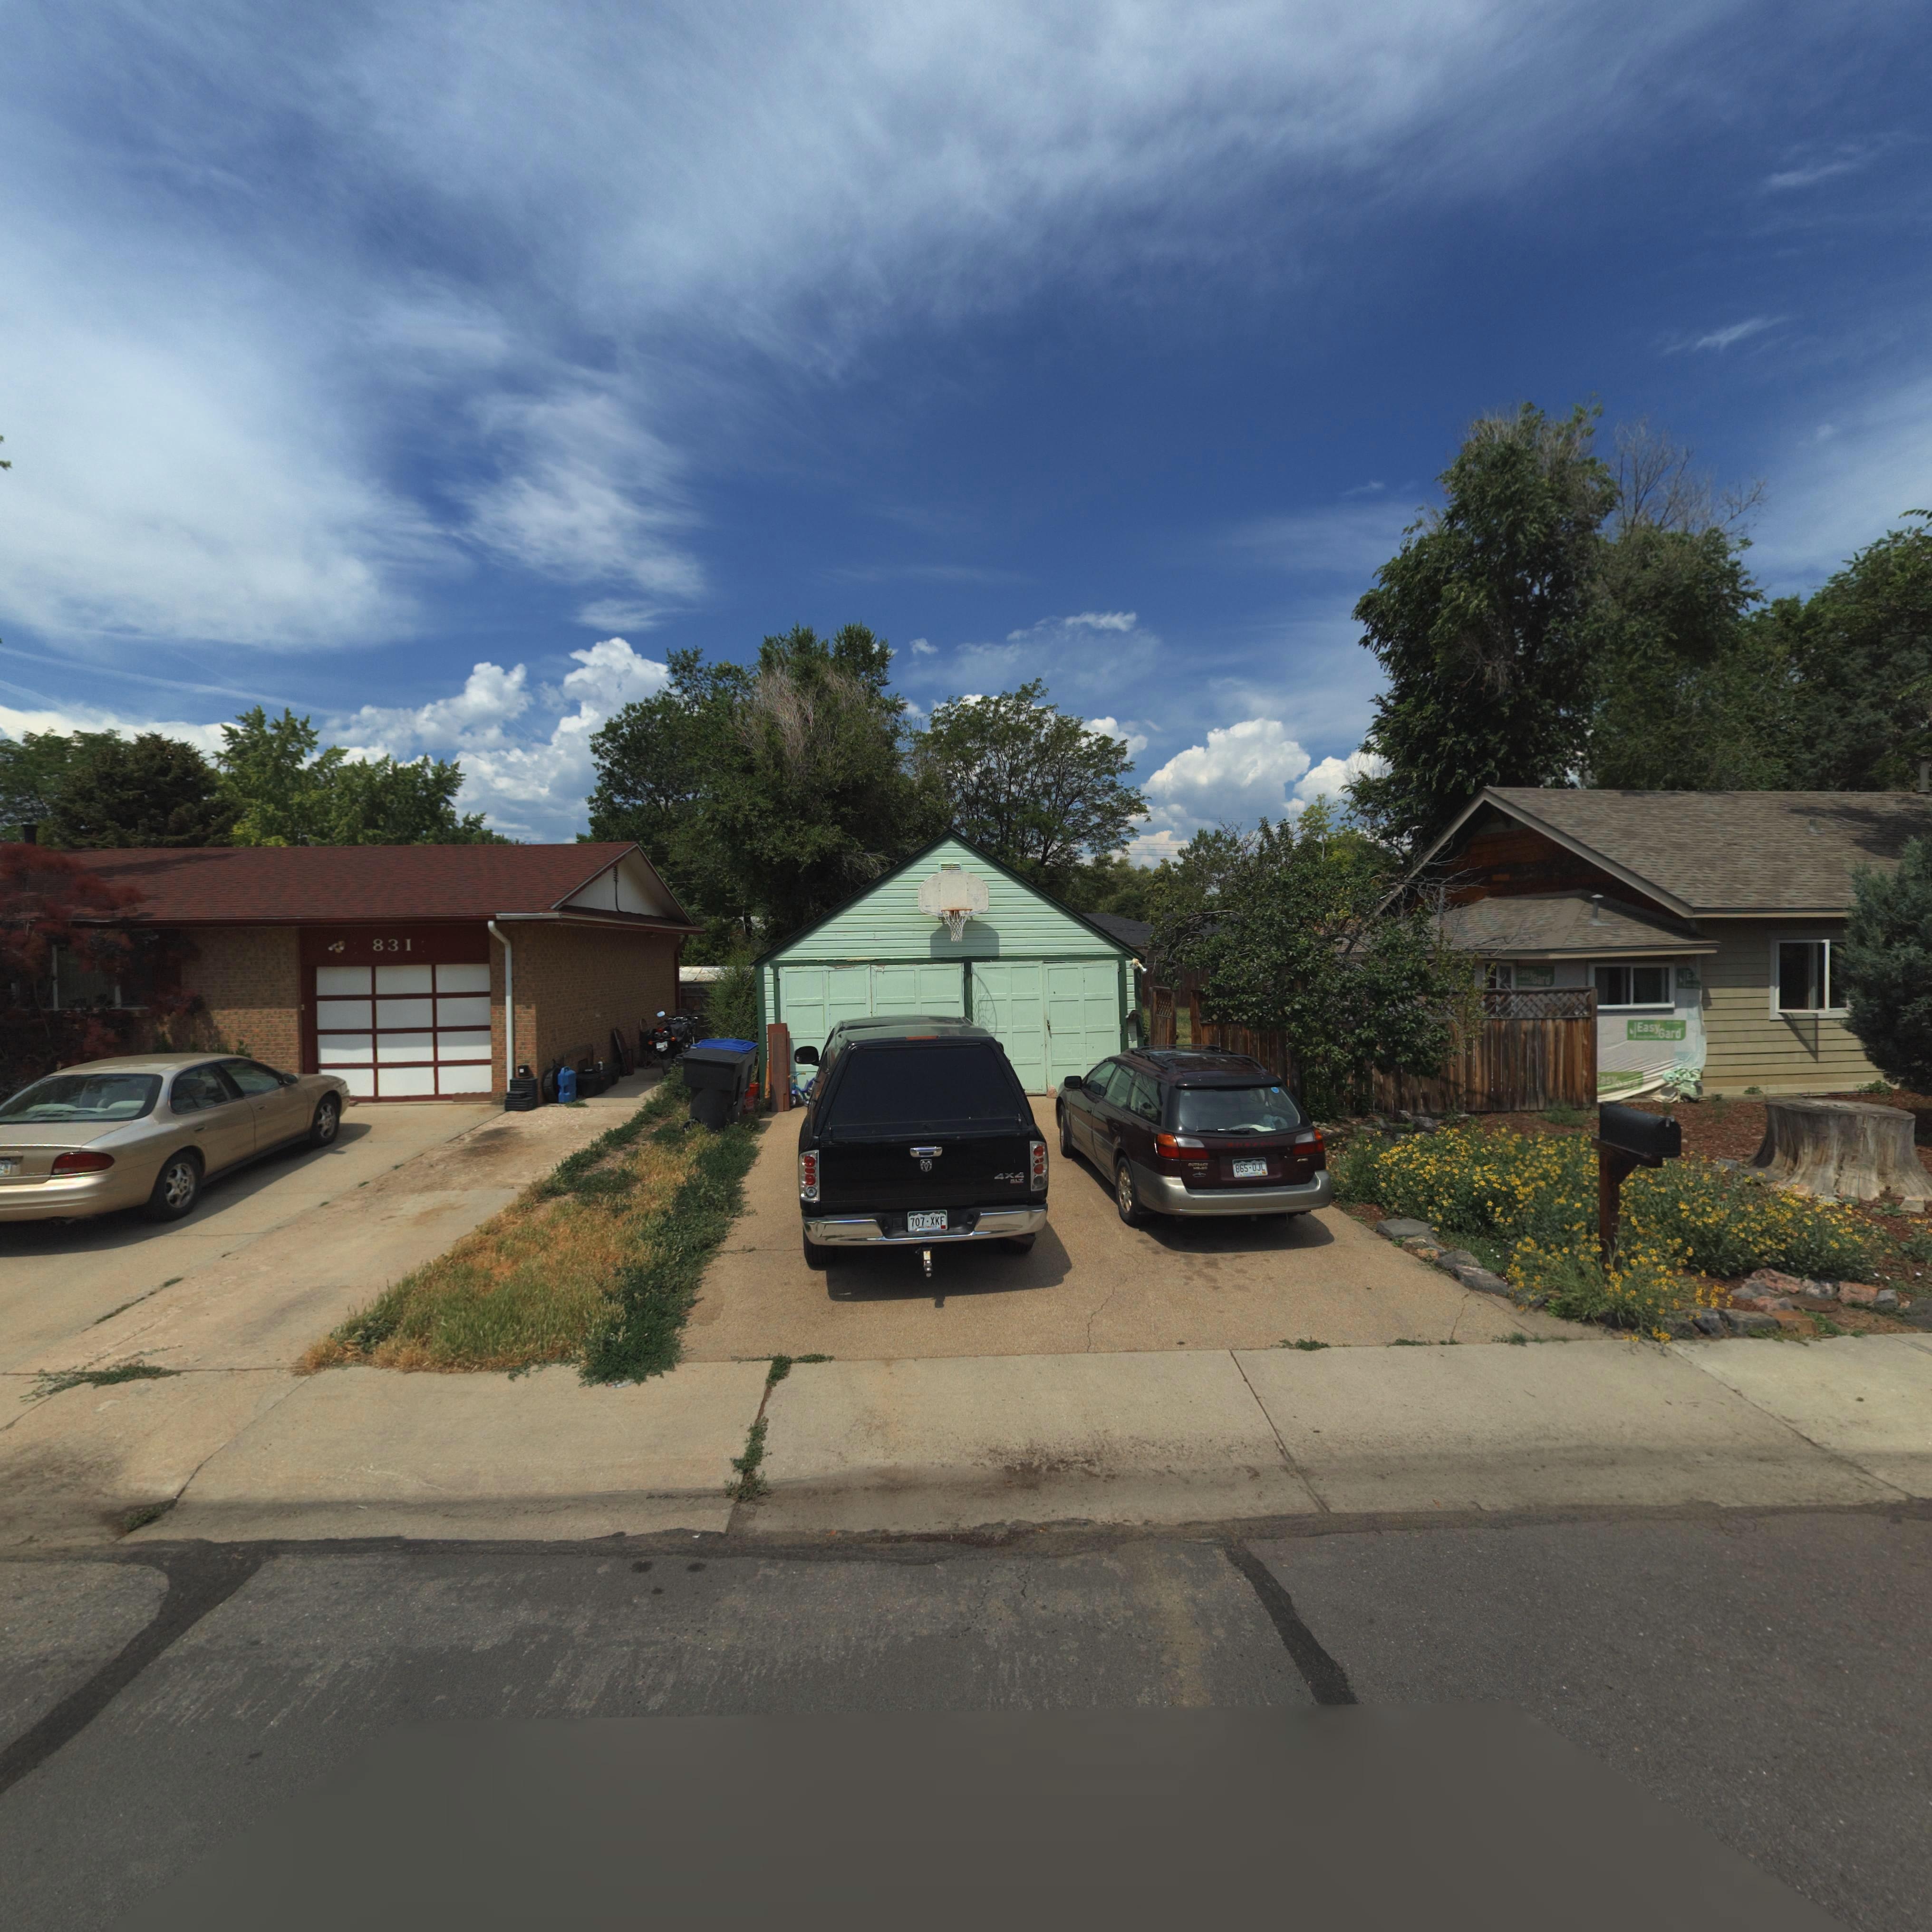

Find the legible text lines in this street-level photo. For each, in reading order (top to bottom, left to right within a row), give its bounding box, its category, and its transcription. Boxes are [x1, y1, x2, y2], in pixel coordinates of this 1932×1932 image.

[373, 938, 412, 951] StreetNumber: 831